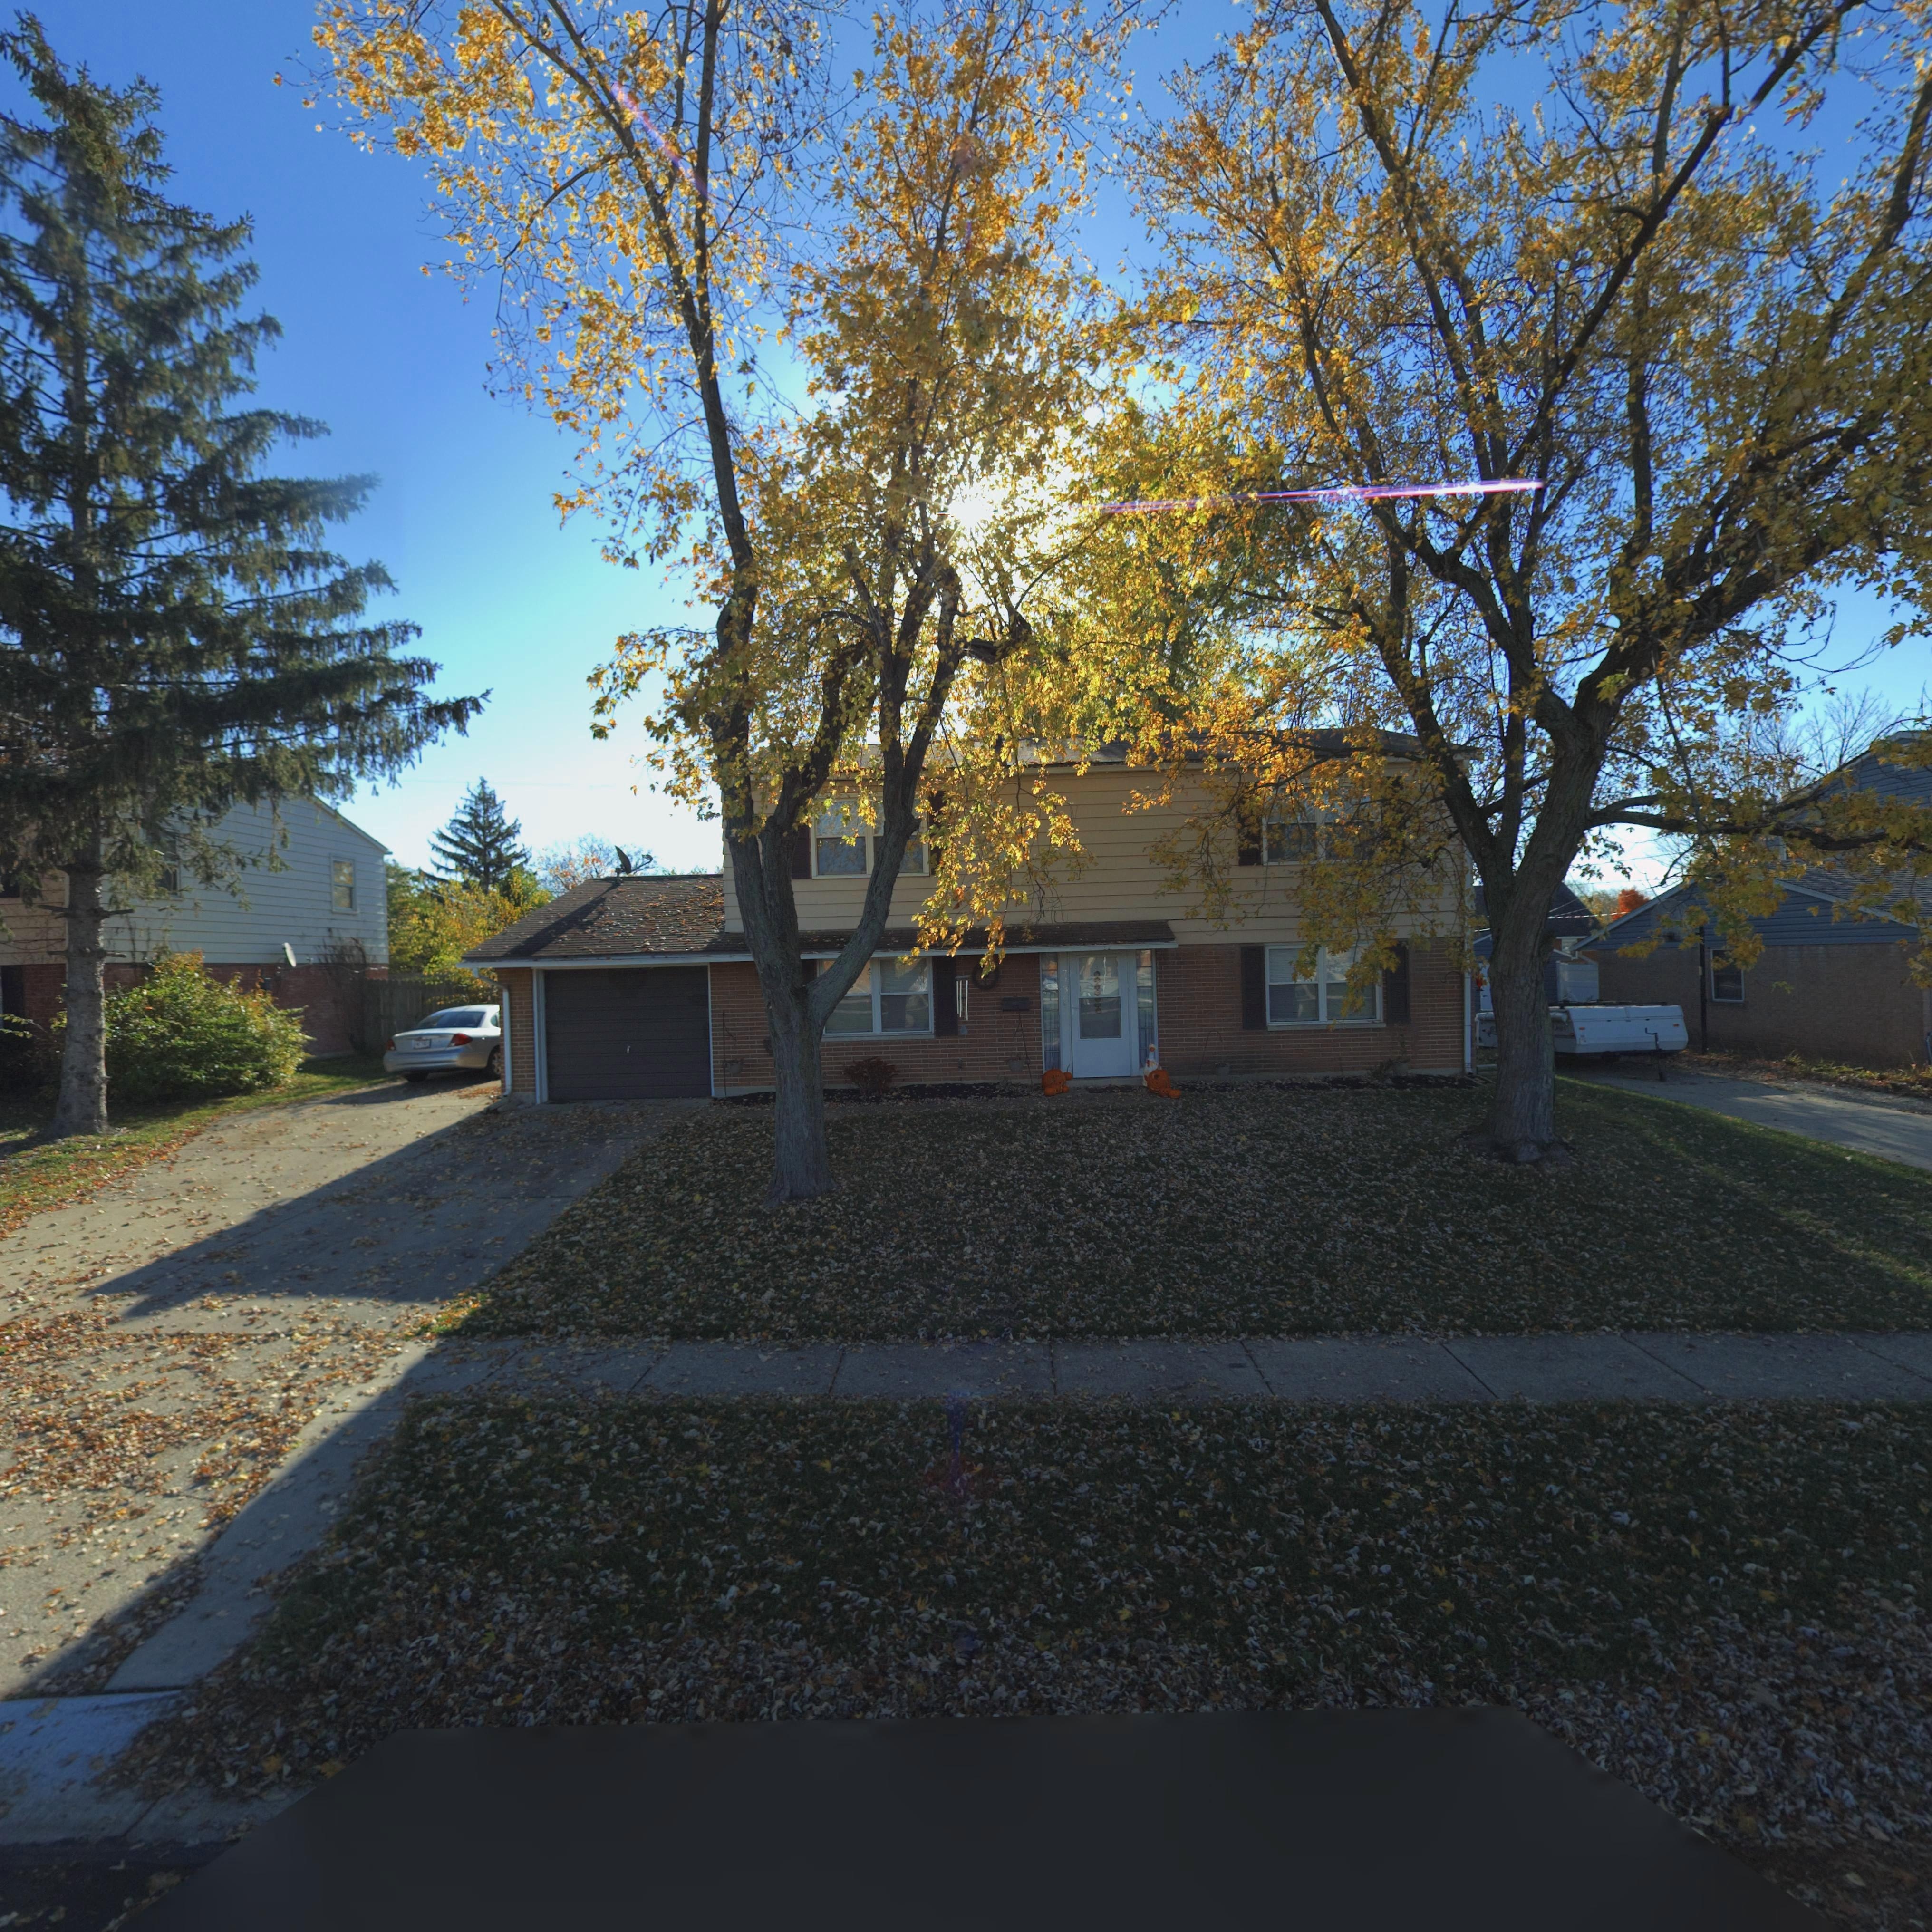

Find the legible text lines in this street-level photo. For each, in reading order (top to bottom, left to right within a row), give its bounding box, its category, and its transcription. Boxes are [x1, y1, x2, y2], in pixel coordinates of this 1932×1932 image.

[1061, 968, 1070, 1002] StreetNumber: 7*3*